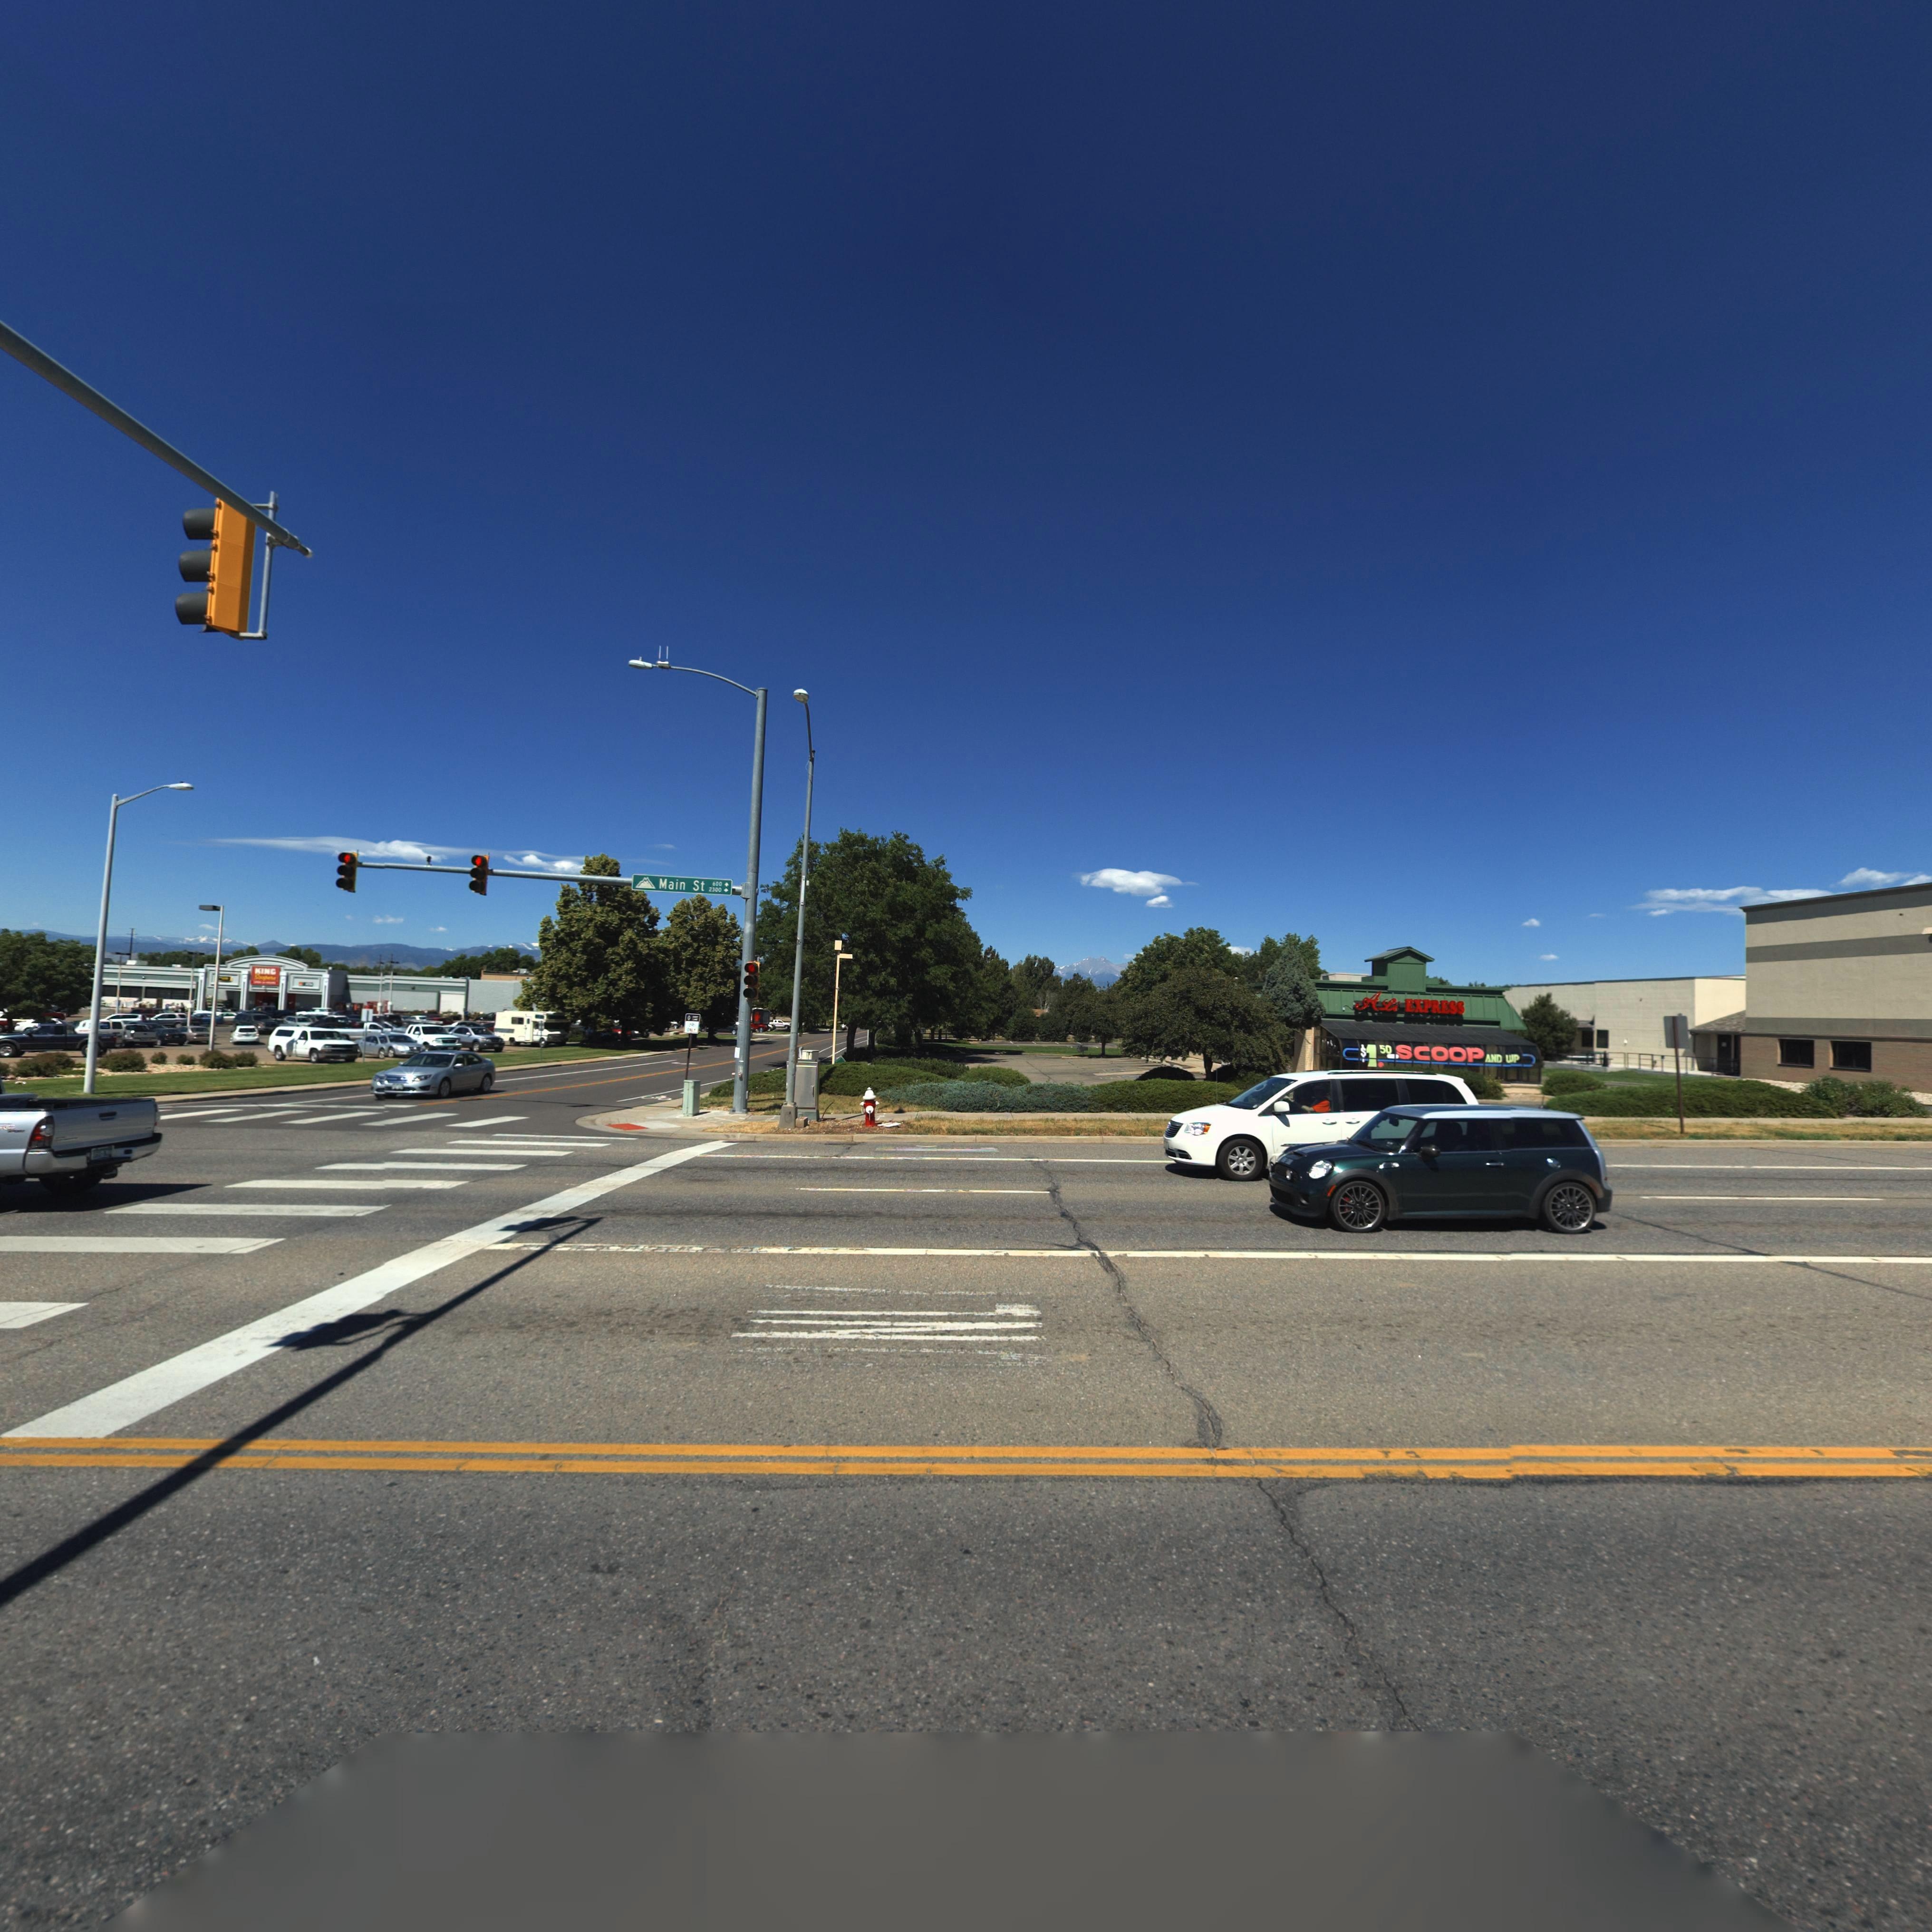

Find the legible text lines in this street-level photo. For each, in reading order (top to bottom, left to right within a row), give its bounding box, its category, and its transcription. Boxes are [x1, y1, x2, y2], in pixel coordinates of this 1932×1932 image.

[659, 878, 705, 891] StreetName: Main St
[712, 880, 722, 887] StreetNumberRange: 600
[708, 887, 729, 892] StreetNumberRange: 2300->
[255, 967, 276, 975] BusinessName: KING
[1354, 991, 1465, 1015] BusinessName: ALi EXPRESS